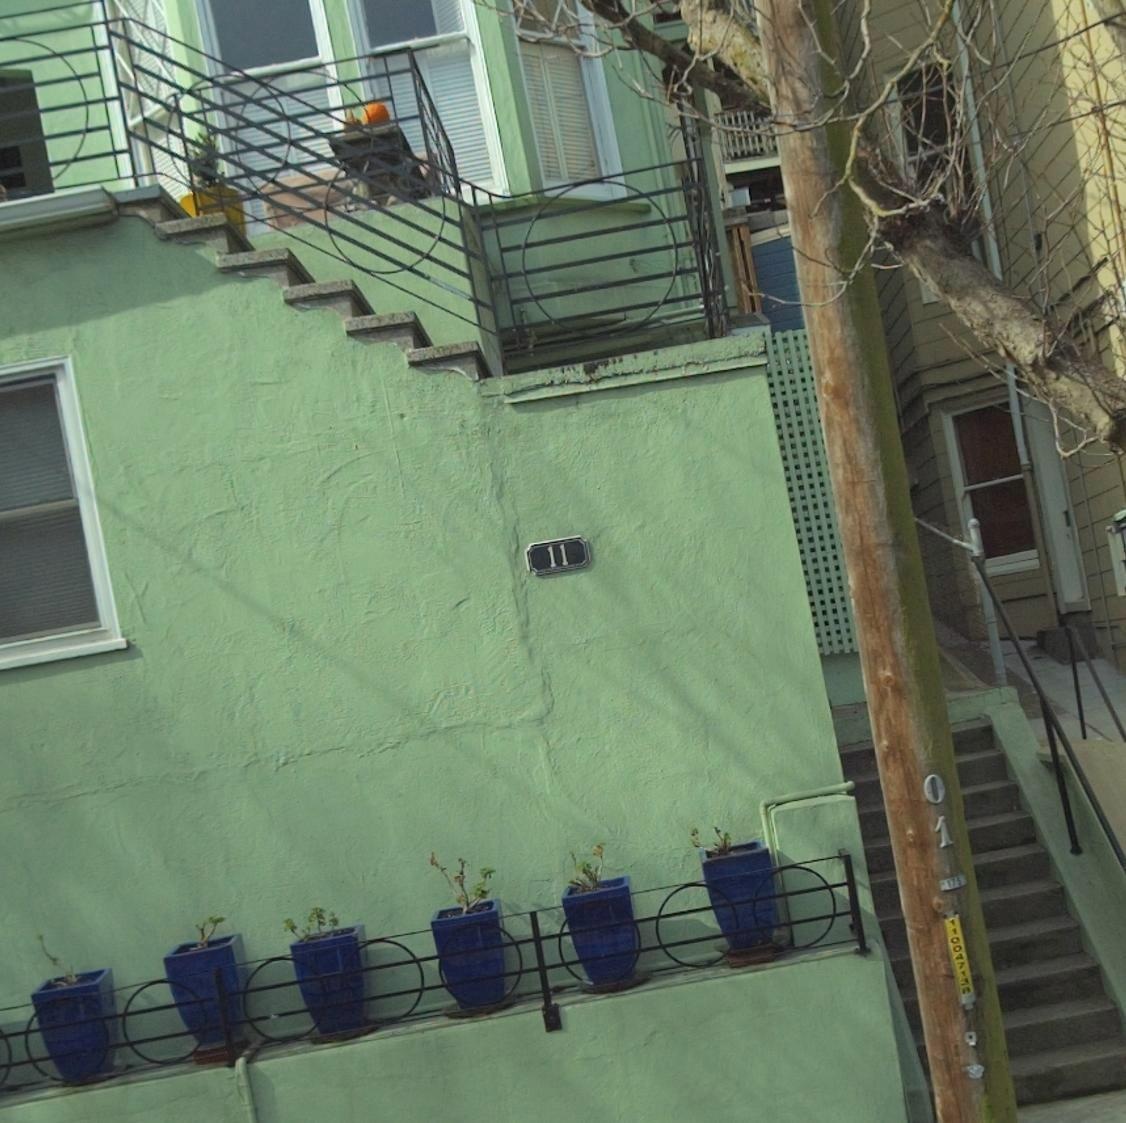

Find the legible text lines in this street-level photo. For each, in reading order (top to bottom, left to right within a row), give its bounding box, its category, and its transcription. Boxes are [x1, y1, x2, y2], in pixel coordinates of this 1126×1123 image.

[543, 540, 572, 571] StreetNumber: 11
[916, 768, 960, 855] None: 01
[942, 873, 966, 890] None: 175
[944, 914, 974, 998] None: 110047138